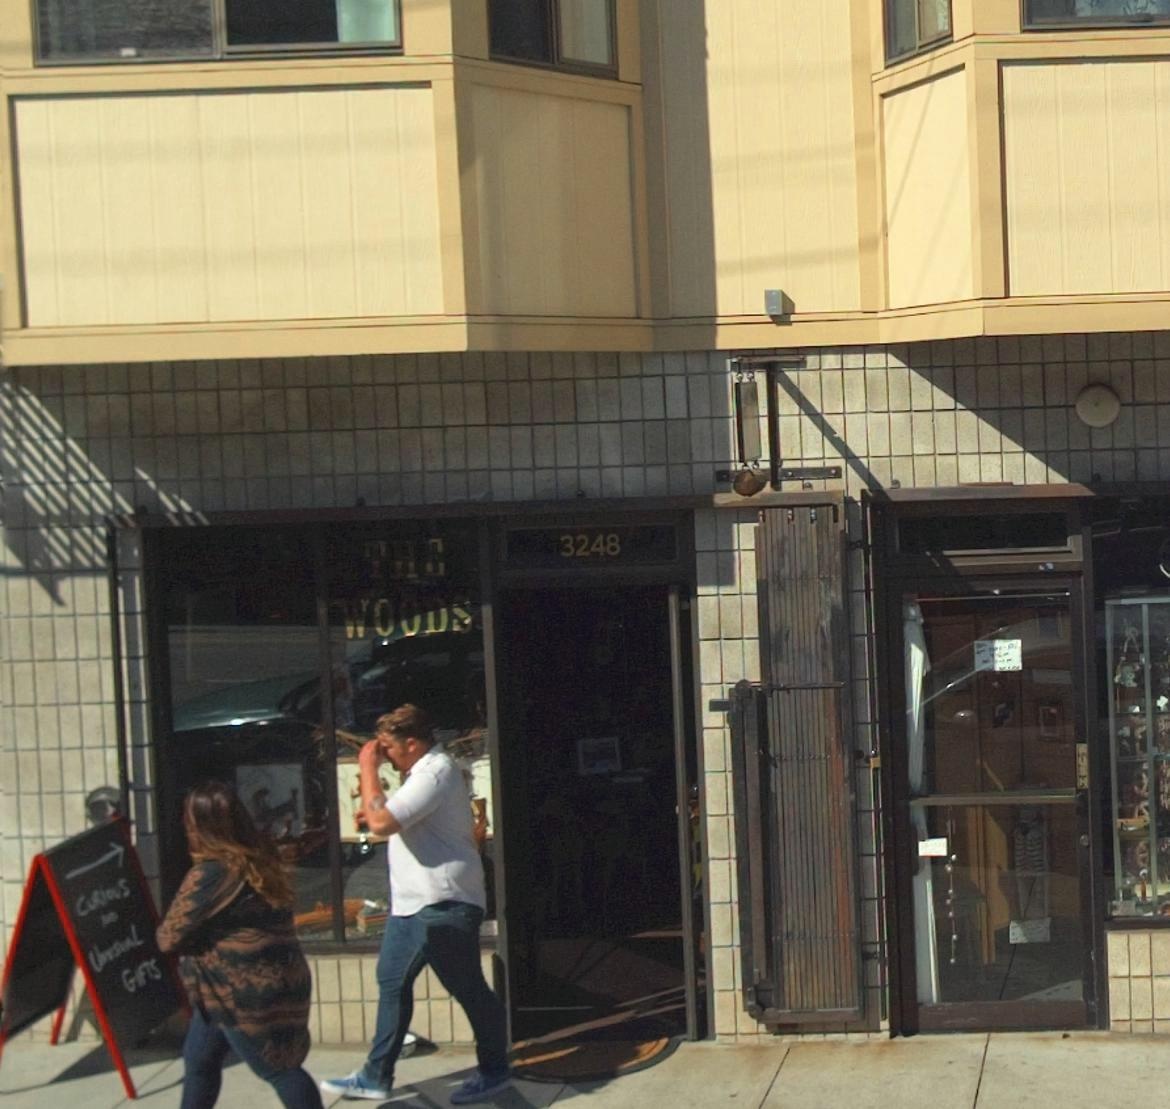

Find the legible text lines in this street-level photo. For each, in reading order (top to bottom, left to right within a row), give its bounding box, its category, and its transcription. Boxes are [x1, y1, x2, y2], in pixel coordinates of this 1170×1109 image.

[361, 536, 446, 580] BusinessName: THE
[558, 531, 622, 558] StreetNumber: 3248
[333, 592, 475, 641] BusinessName: WOODS
[72, 876, 132, 919] None: CURIOUS
[119, 955, 164, 994] None: GIFTS